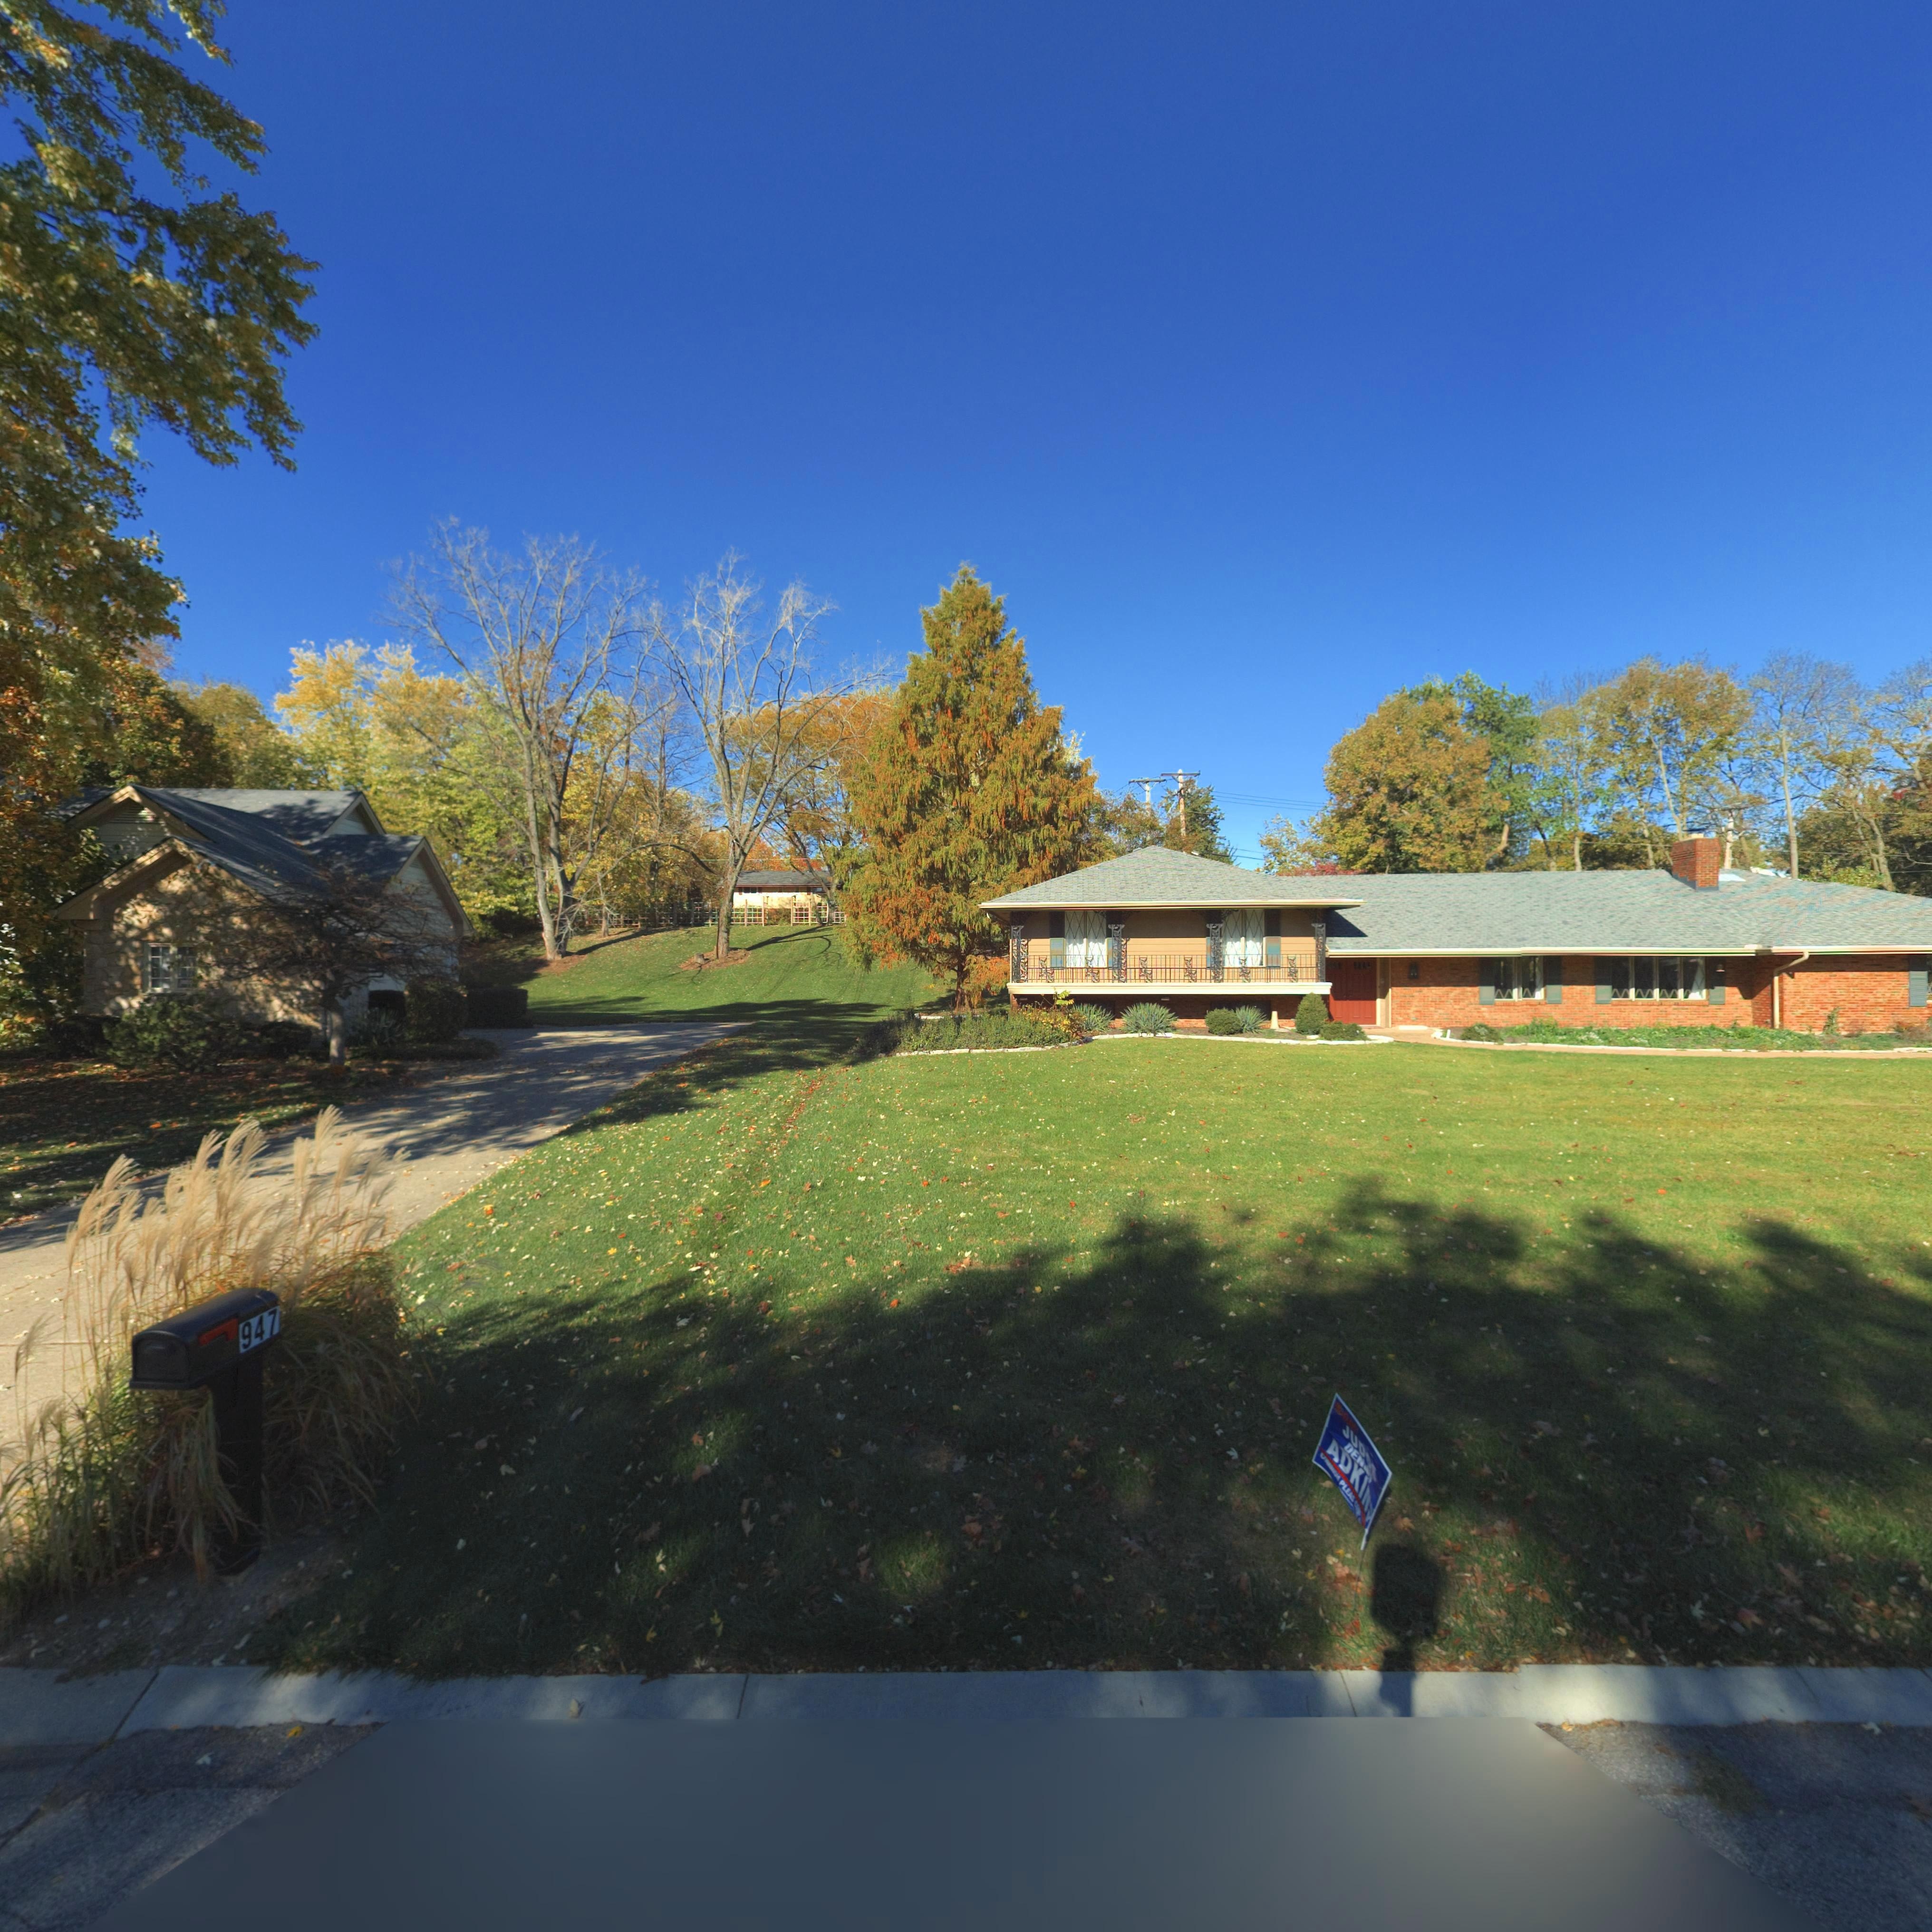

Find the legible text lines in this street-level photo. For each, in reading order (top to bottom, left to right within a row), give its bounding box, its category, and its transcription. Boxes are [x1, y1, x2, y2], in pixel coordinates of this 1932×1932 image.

[239, 1304, 280, 1355] StreetNumber: 947
[1325, 1437, 1370, 1502] None: ADKI
[1341, 1424, 1366, 1459] None: JUD
[1342, 1441, 1366, 1469] None: DEN
[1338, 1478, 1356, 1504] None: PLEAS